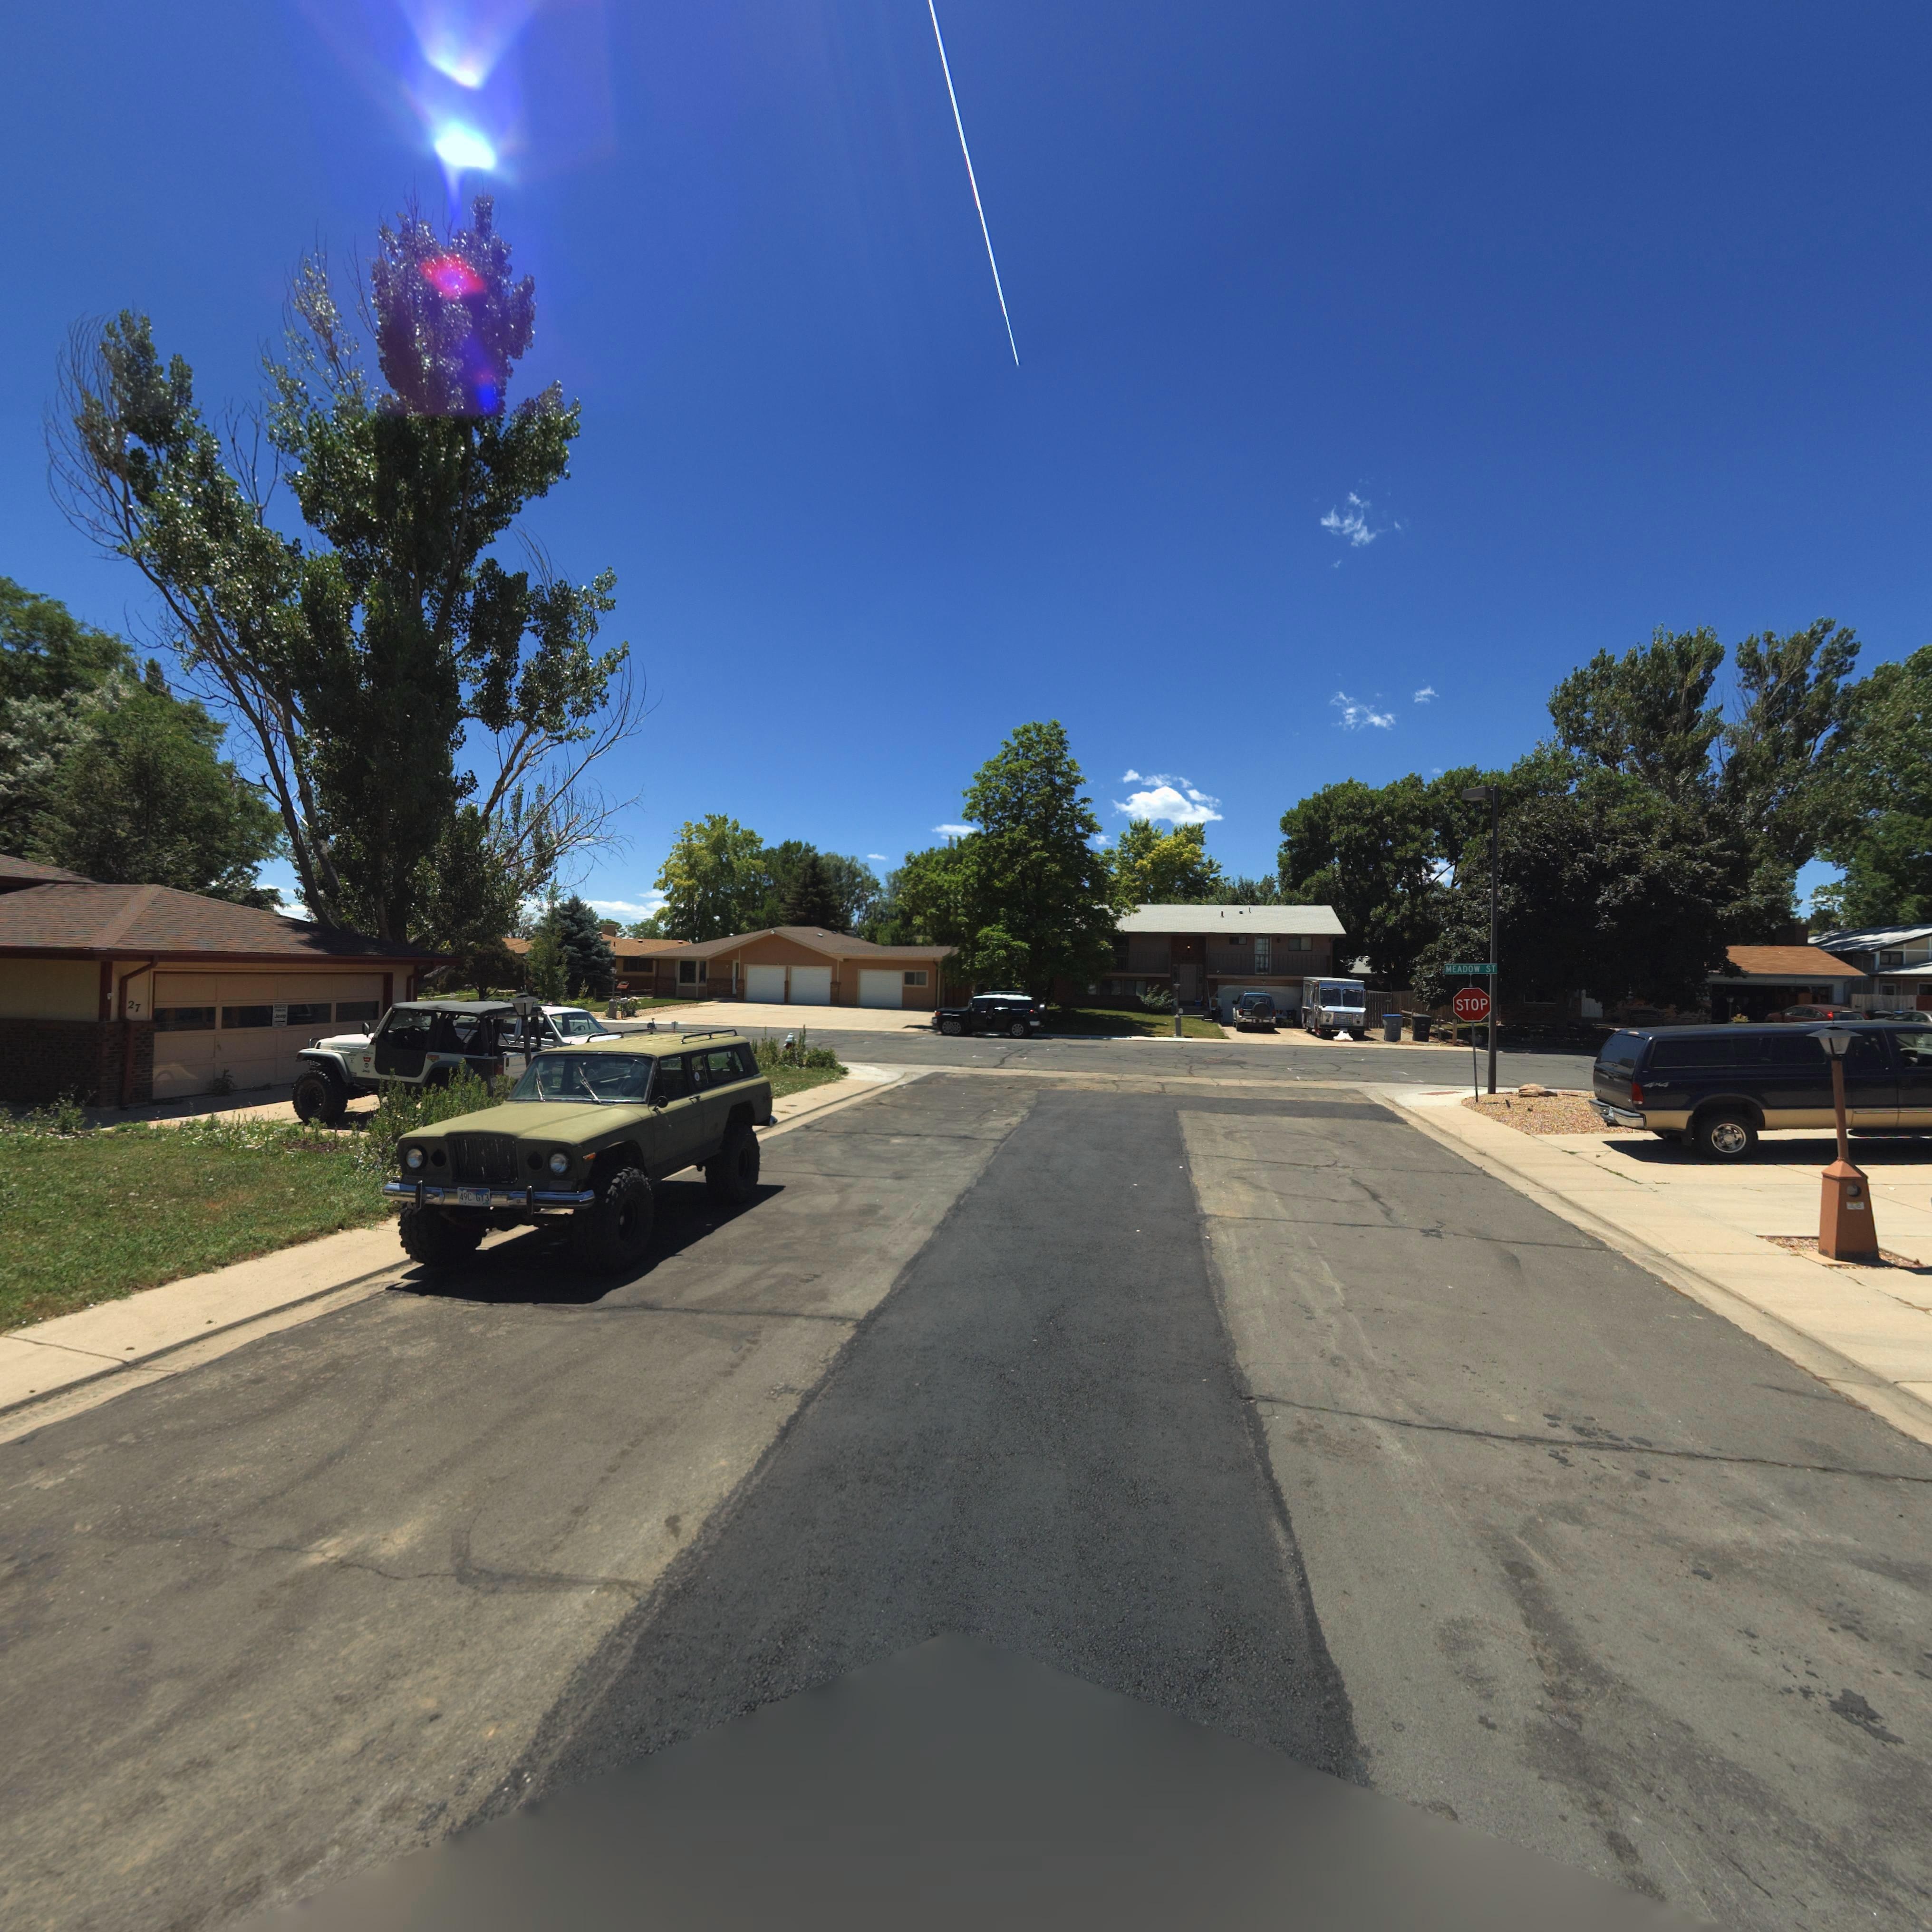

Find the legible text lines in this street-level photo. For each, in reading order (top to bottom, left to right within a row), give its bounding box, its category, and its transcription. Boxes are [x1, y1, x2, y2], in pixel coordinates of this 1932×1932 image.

[1180, 956, 1194, 960] StreetNumber: 2***
[1446, 966, 1495, 972] StreetName: MEADOW ST
[127, 1001, 141, 1013] StreetNumber: 27
[460, 1192, 490, 1202] None: Z*